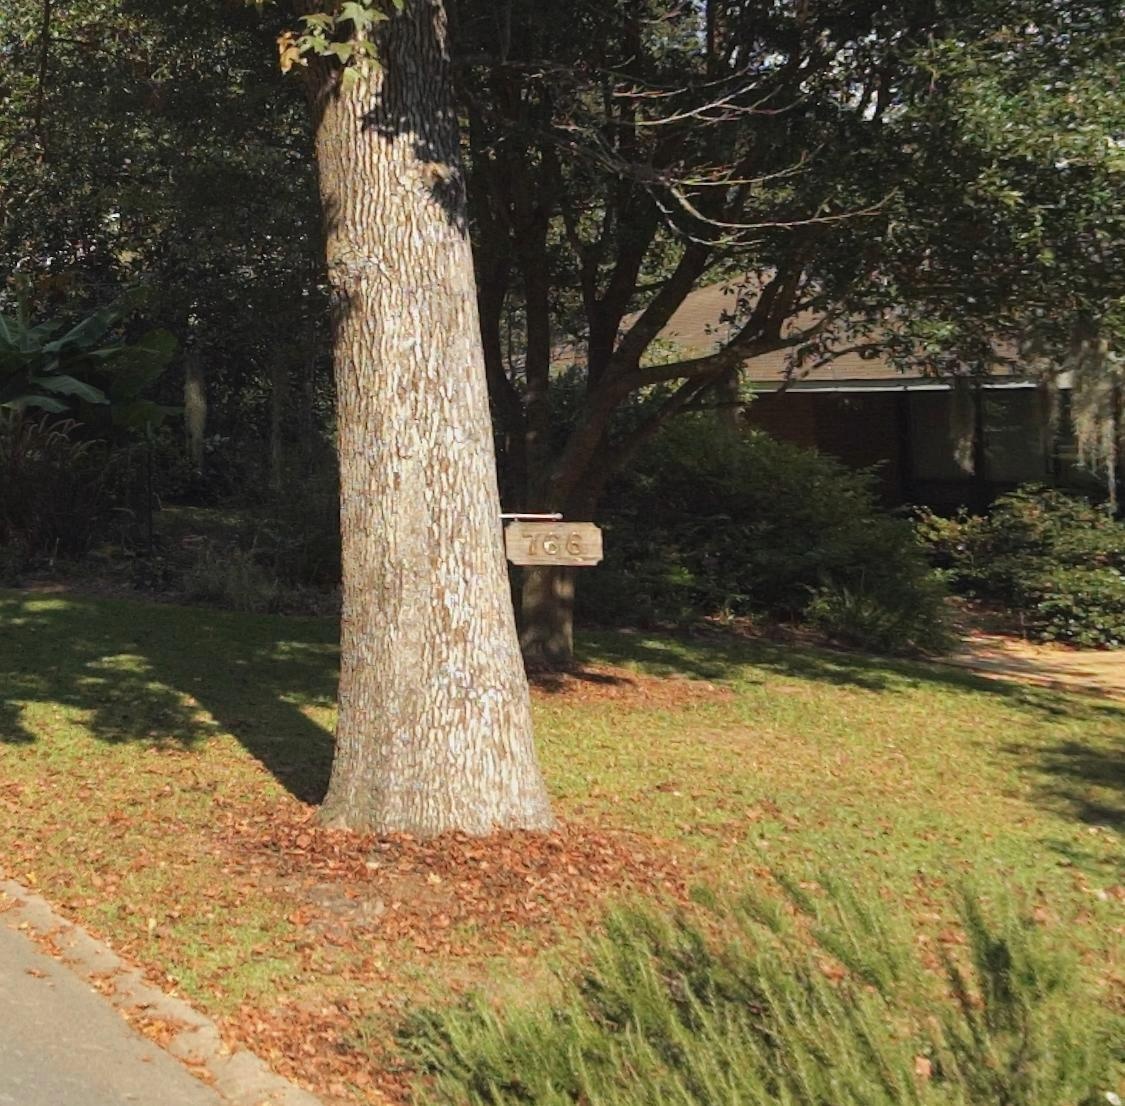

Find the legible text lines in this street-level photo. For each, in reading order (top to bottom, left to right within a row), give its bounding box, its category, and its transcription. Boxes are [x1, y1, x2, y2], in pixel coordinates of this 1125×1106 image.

[522, 530, 585, 555] StreetNumber: 766